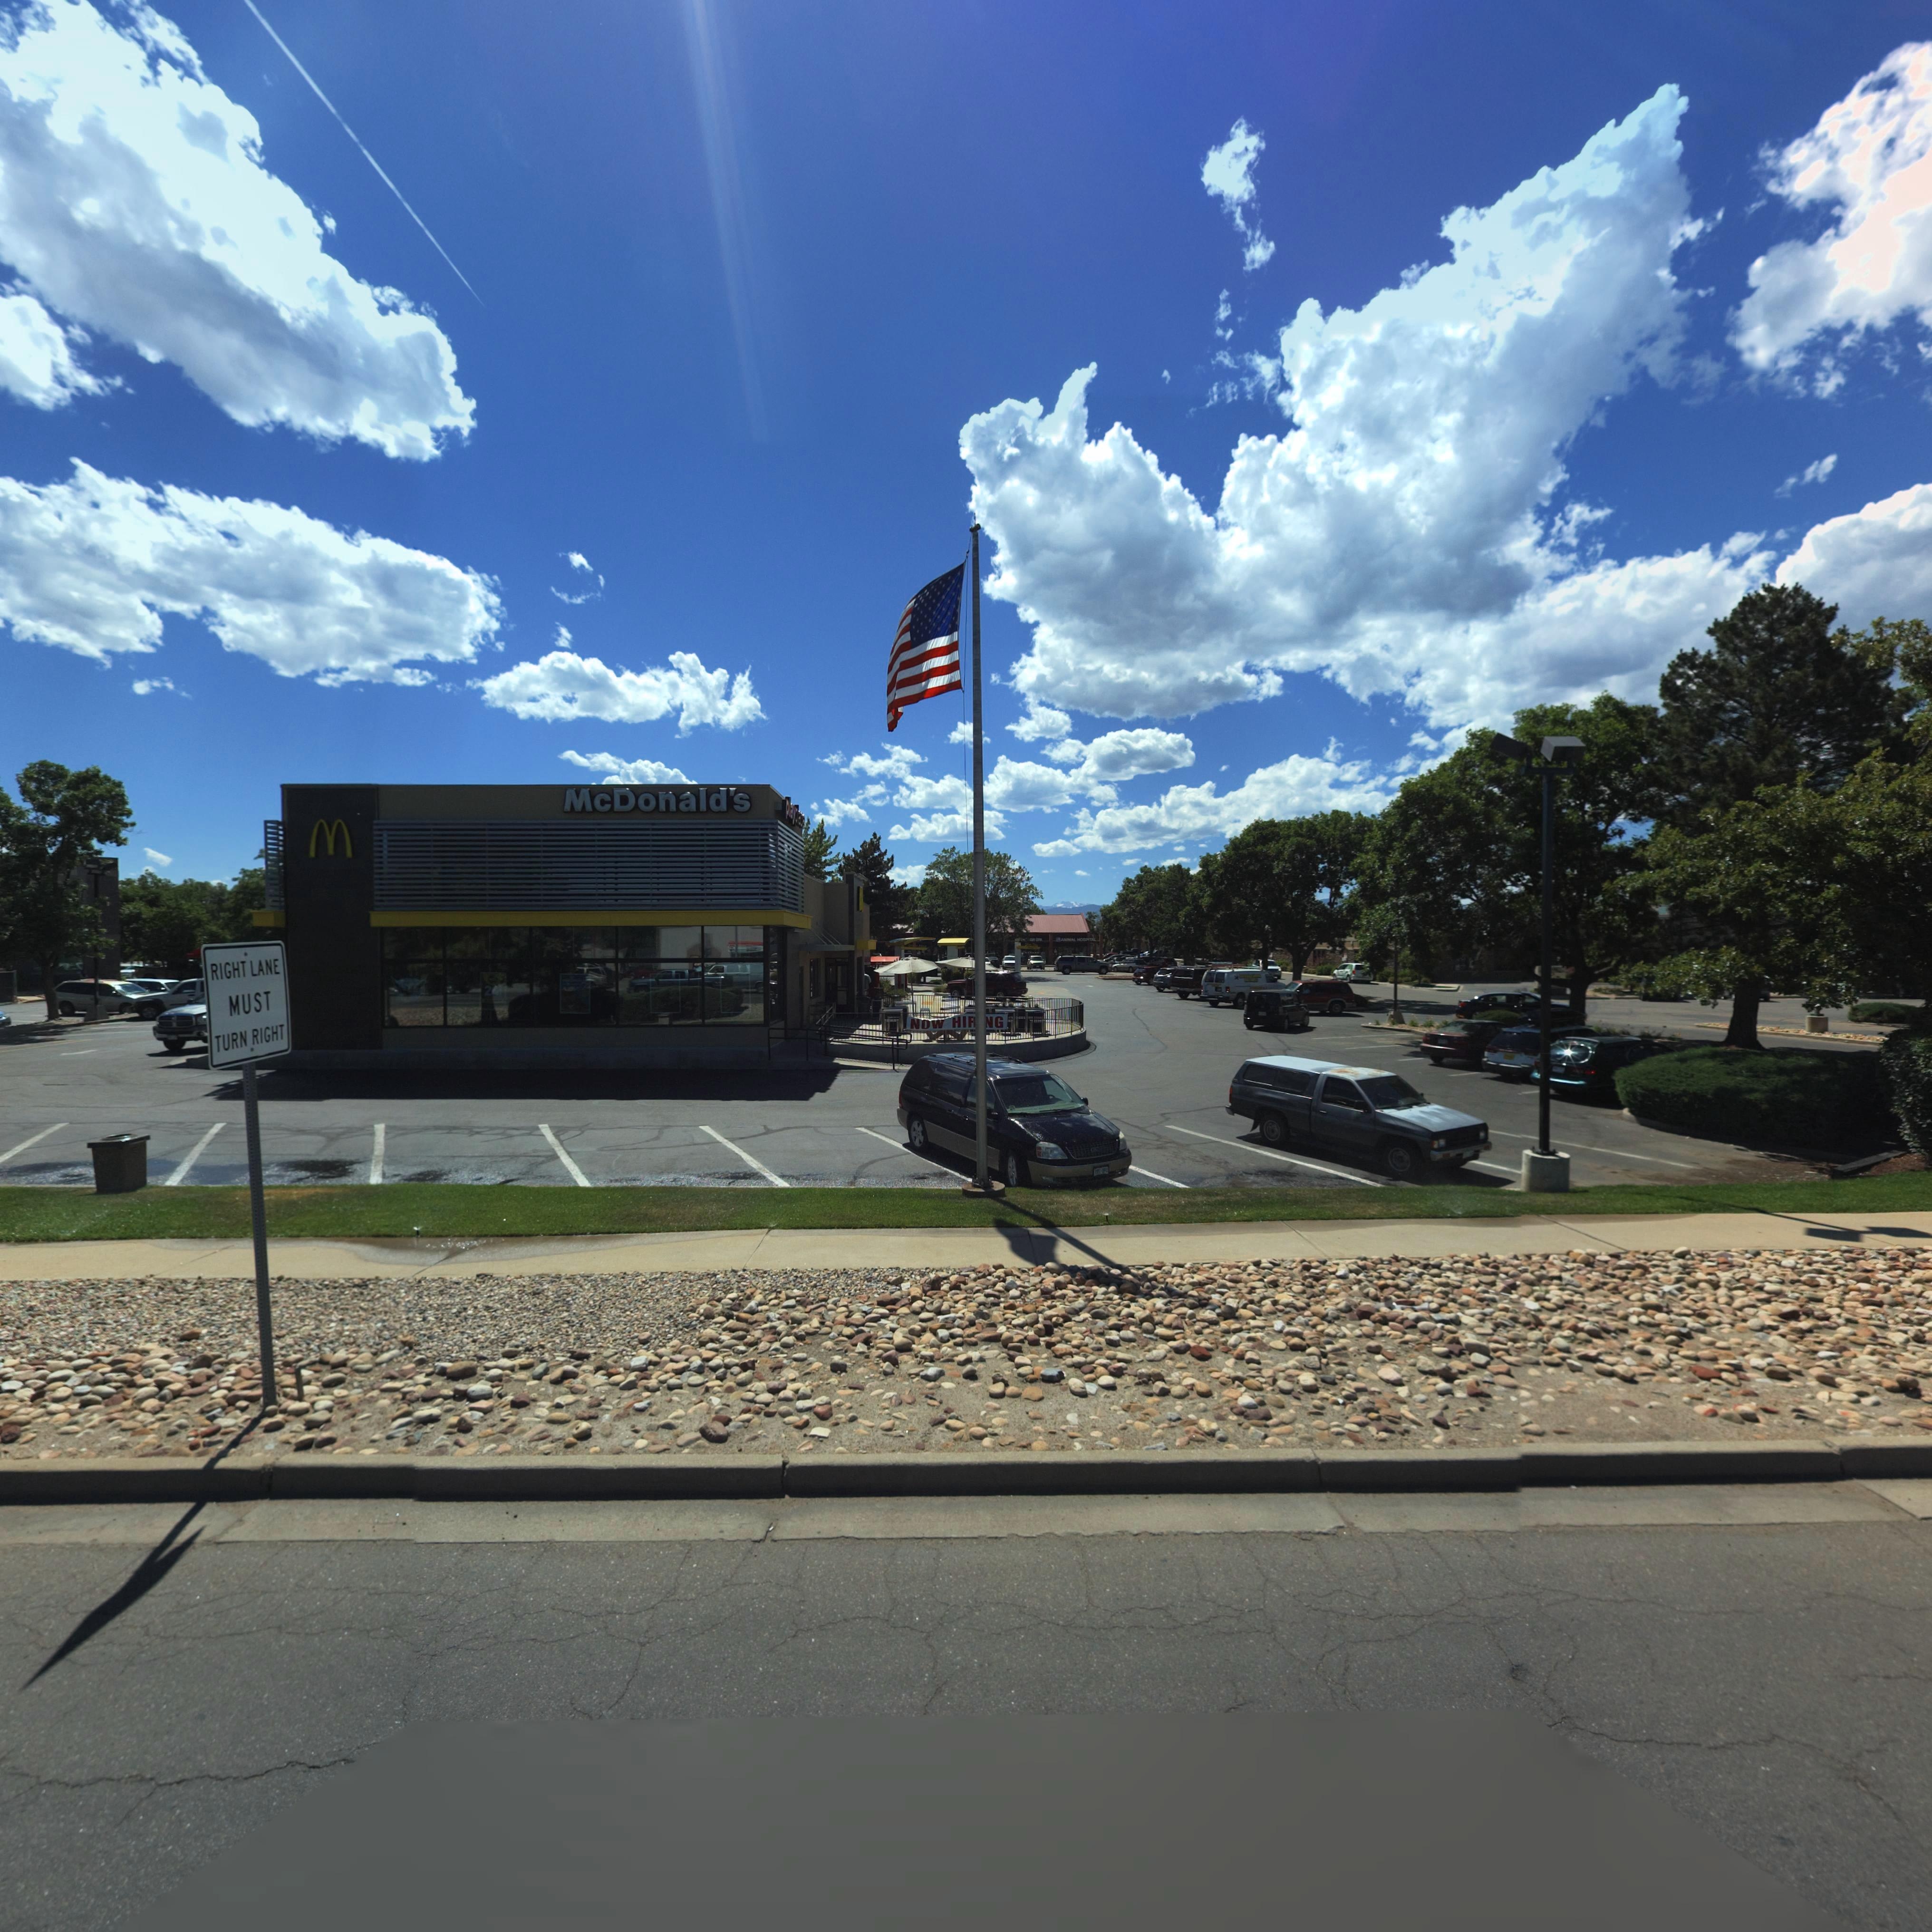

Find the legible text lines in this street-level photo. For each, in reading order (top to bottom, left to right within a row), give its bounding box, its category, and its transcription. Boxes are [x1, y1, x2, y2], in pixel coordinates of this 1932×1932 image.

[560, 785, 753, 816] BusinessName: McDonald*s